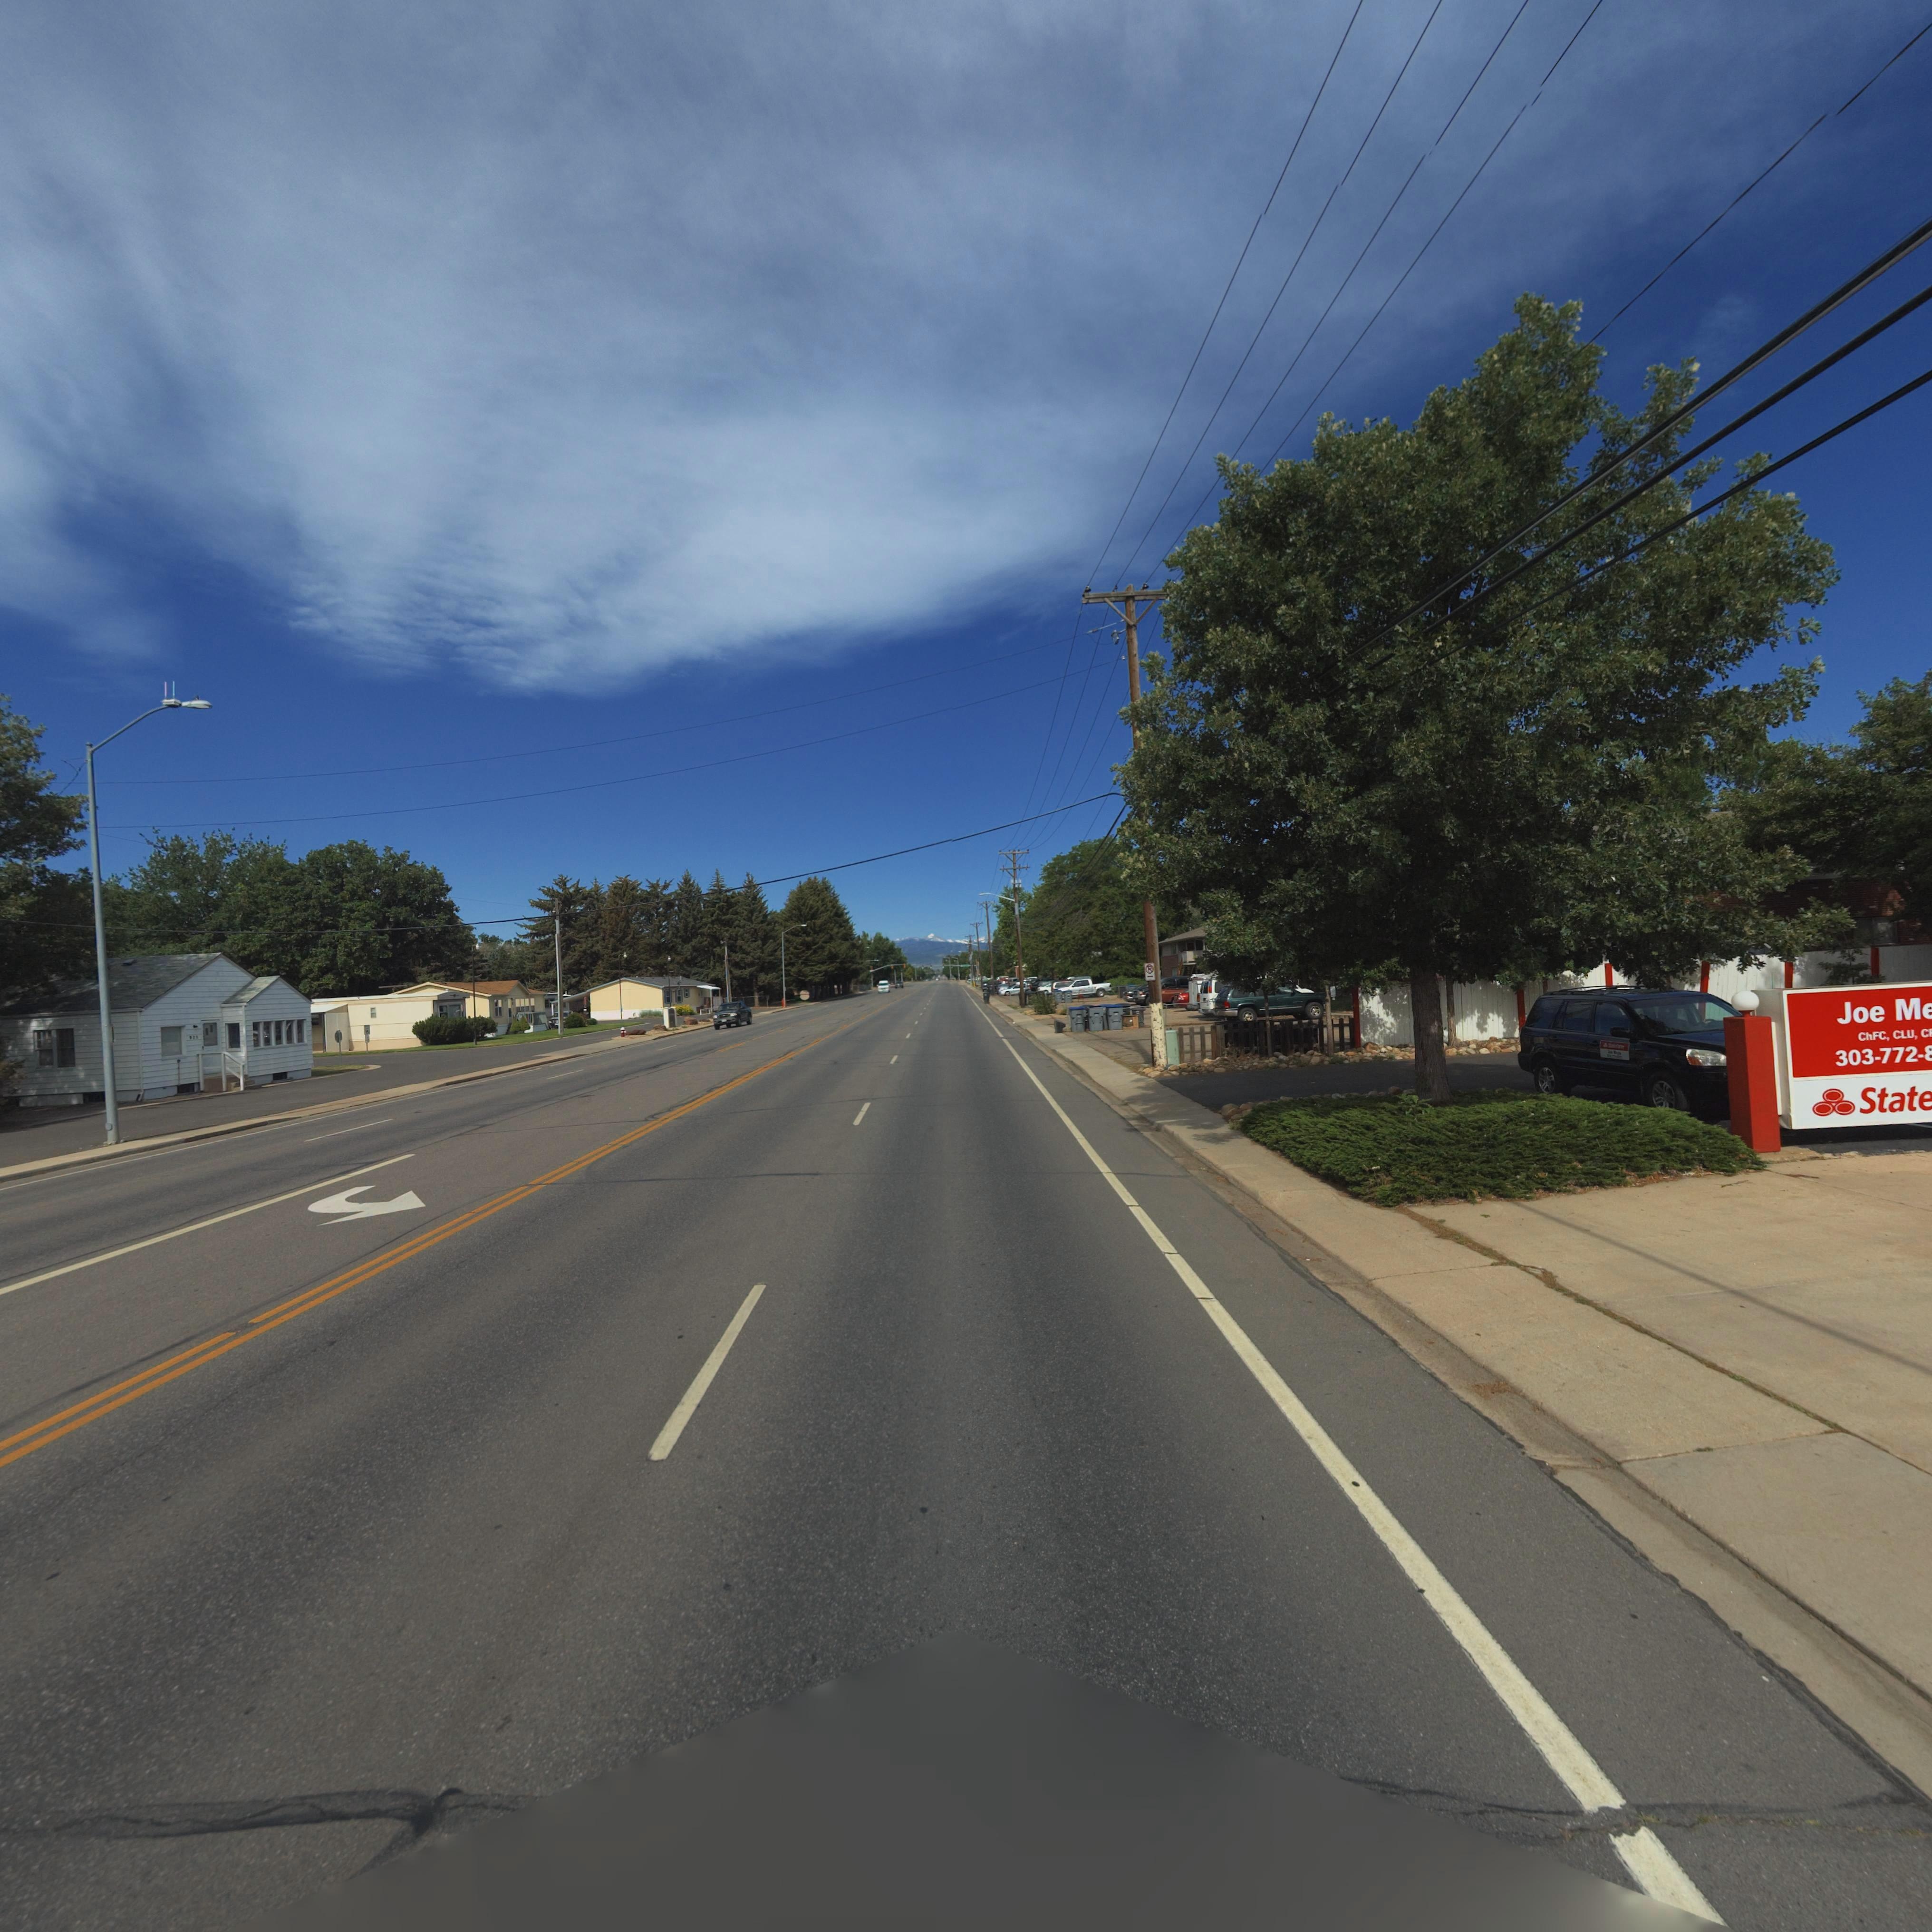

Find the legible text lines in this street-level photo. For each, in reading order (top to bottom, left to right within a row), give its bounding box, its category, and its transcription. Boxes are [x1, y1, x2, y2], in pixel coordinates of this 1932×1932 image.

[1859, 1085, 1919, 1114] BusinessName: Stat